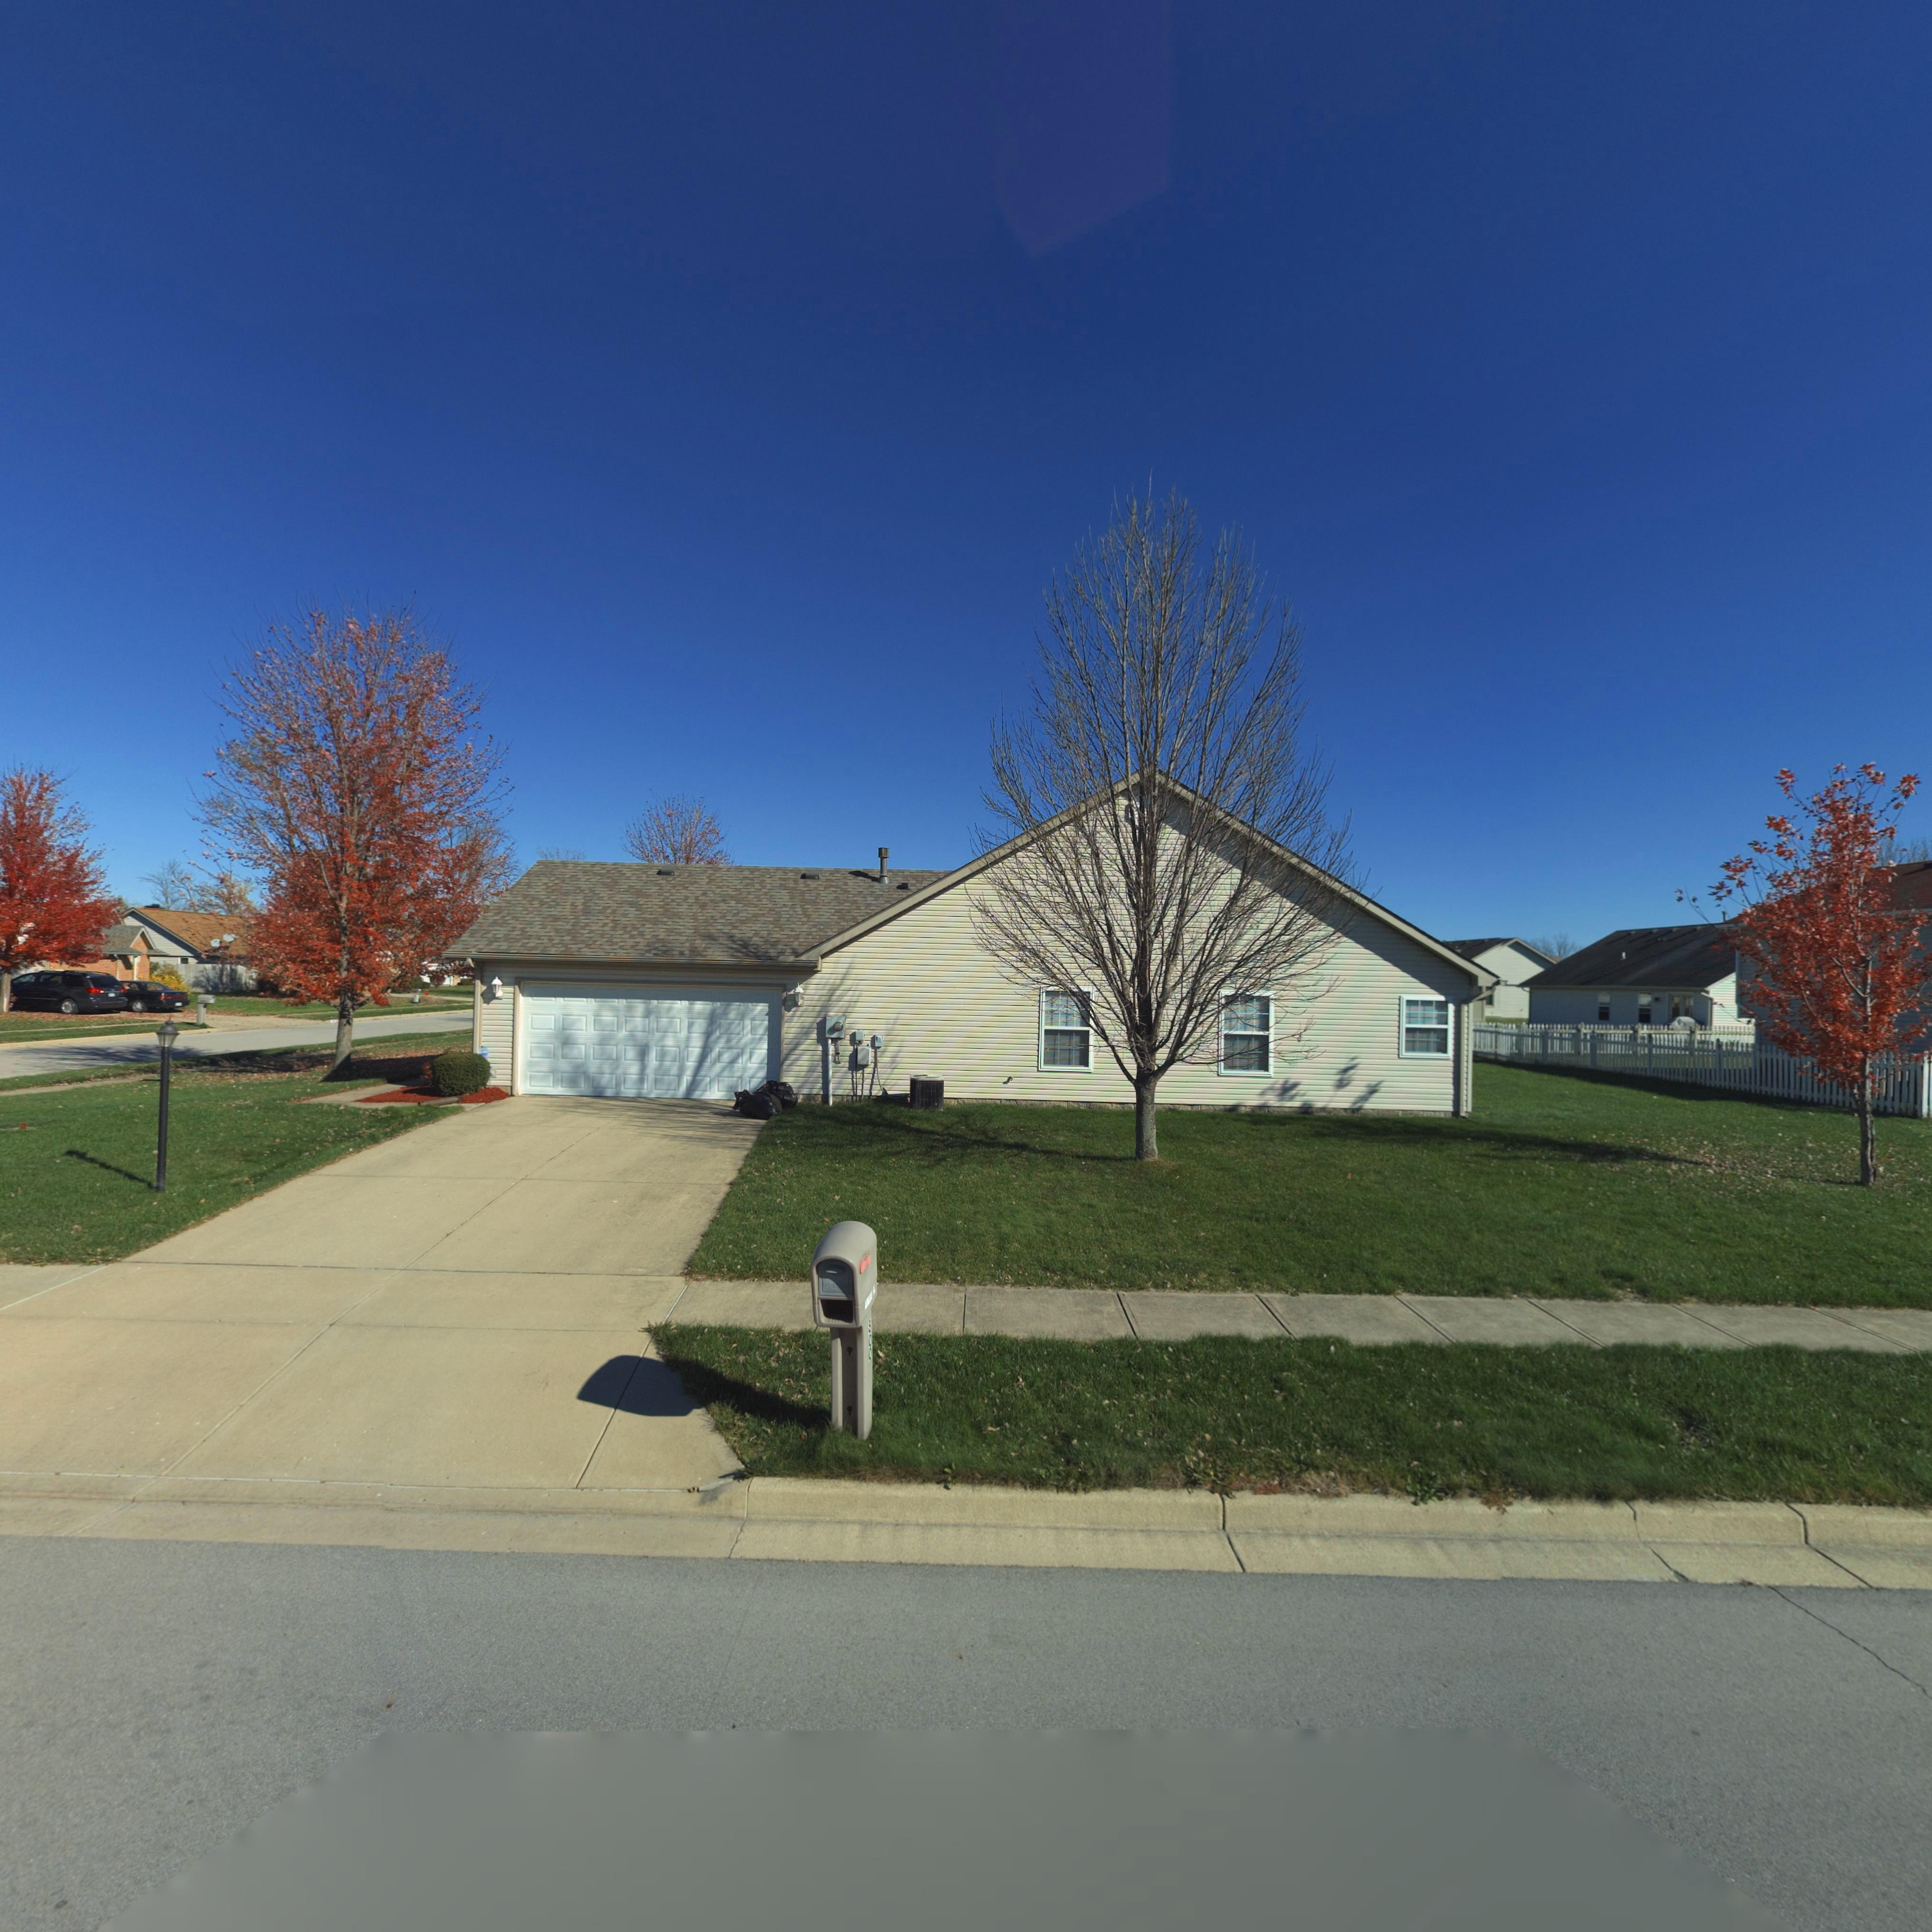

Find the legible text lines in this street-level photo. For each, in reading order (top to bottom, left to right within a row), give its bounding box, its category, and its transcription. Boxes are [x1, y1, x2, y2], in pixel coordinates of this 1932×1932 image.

[867, 1316, 873, 1362] StreetNumber: 800